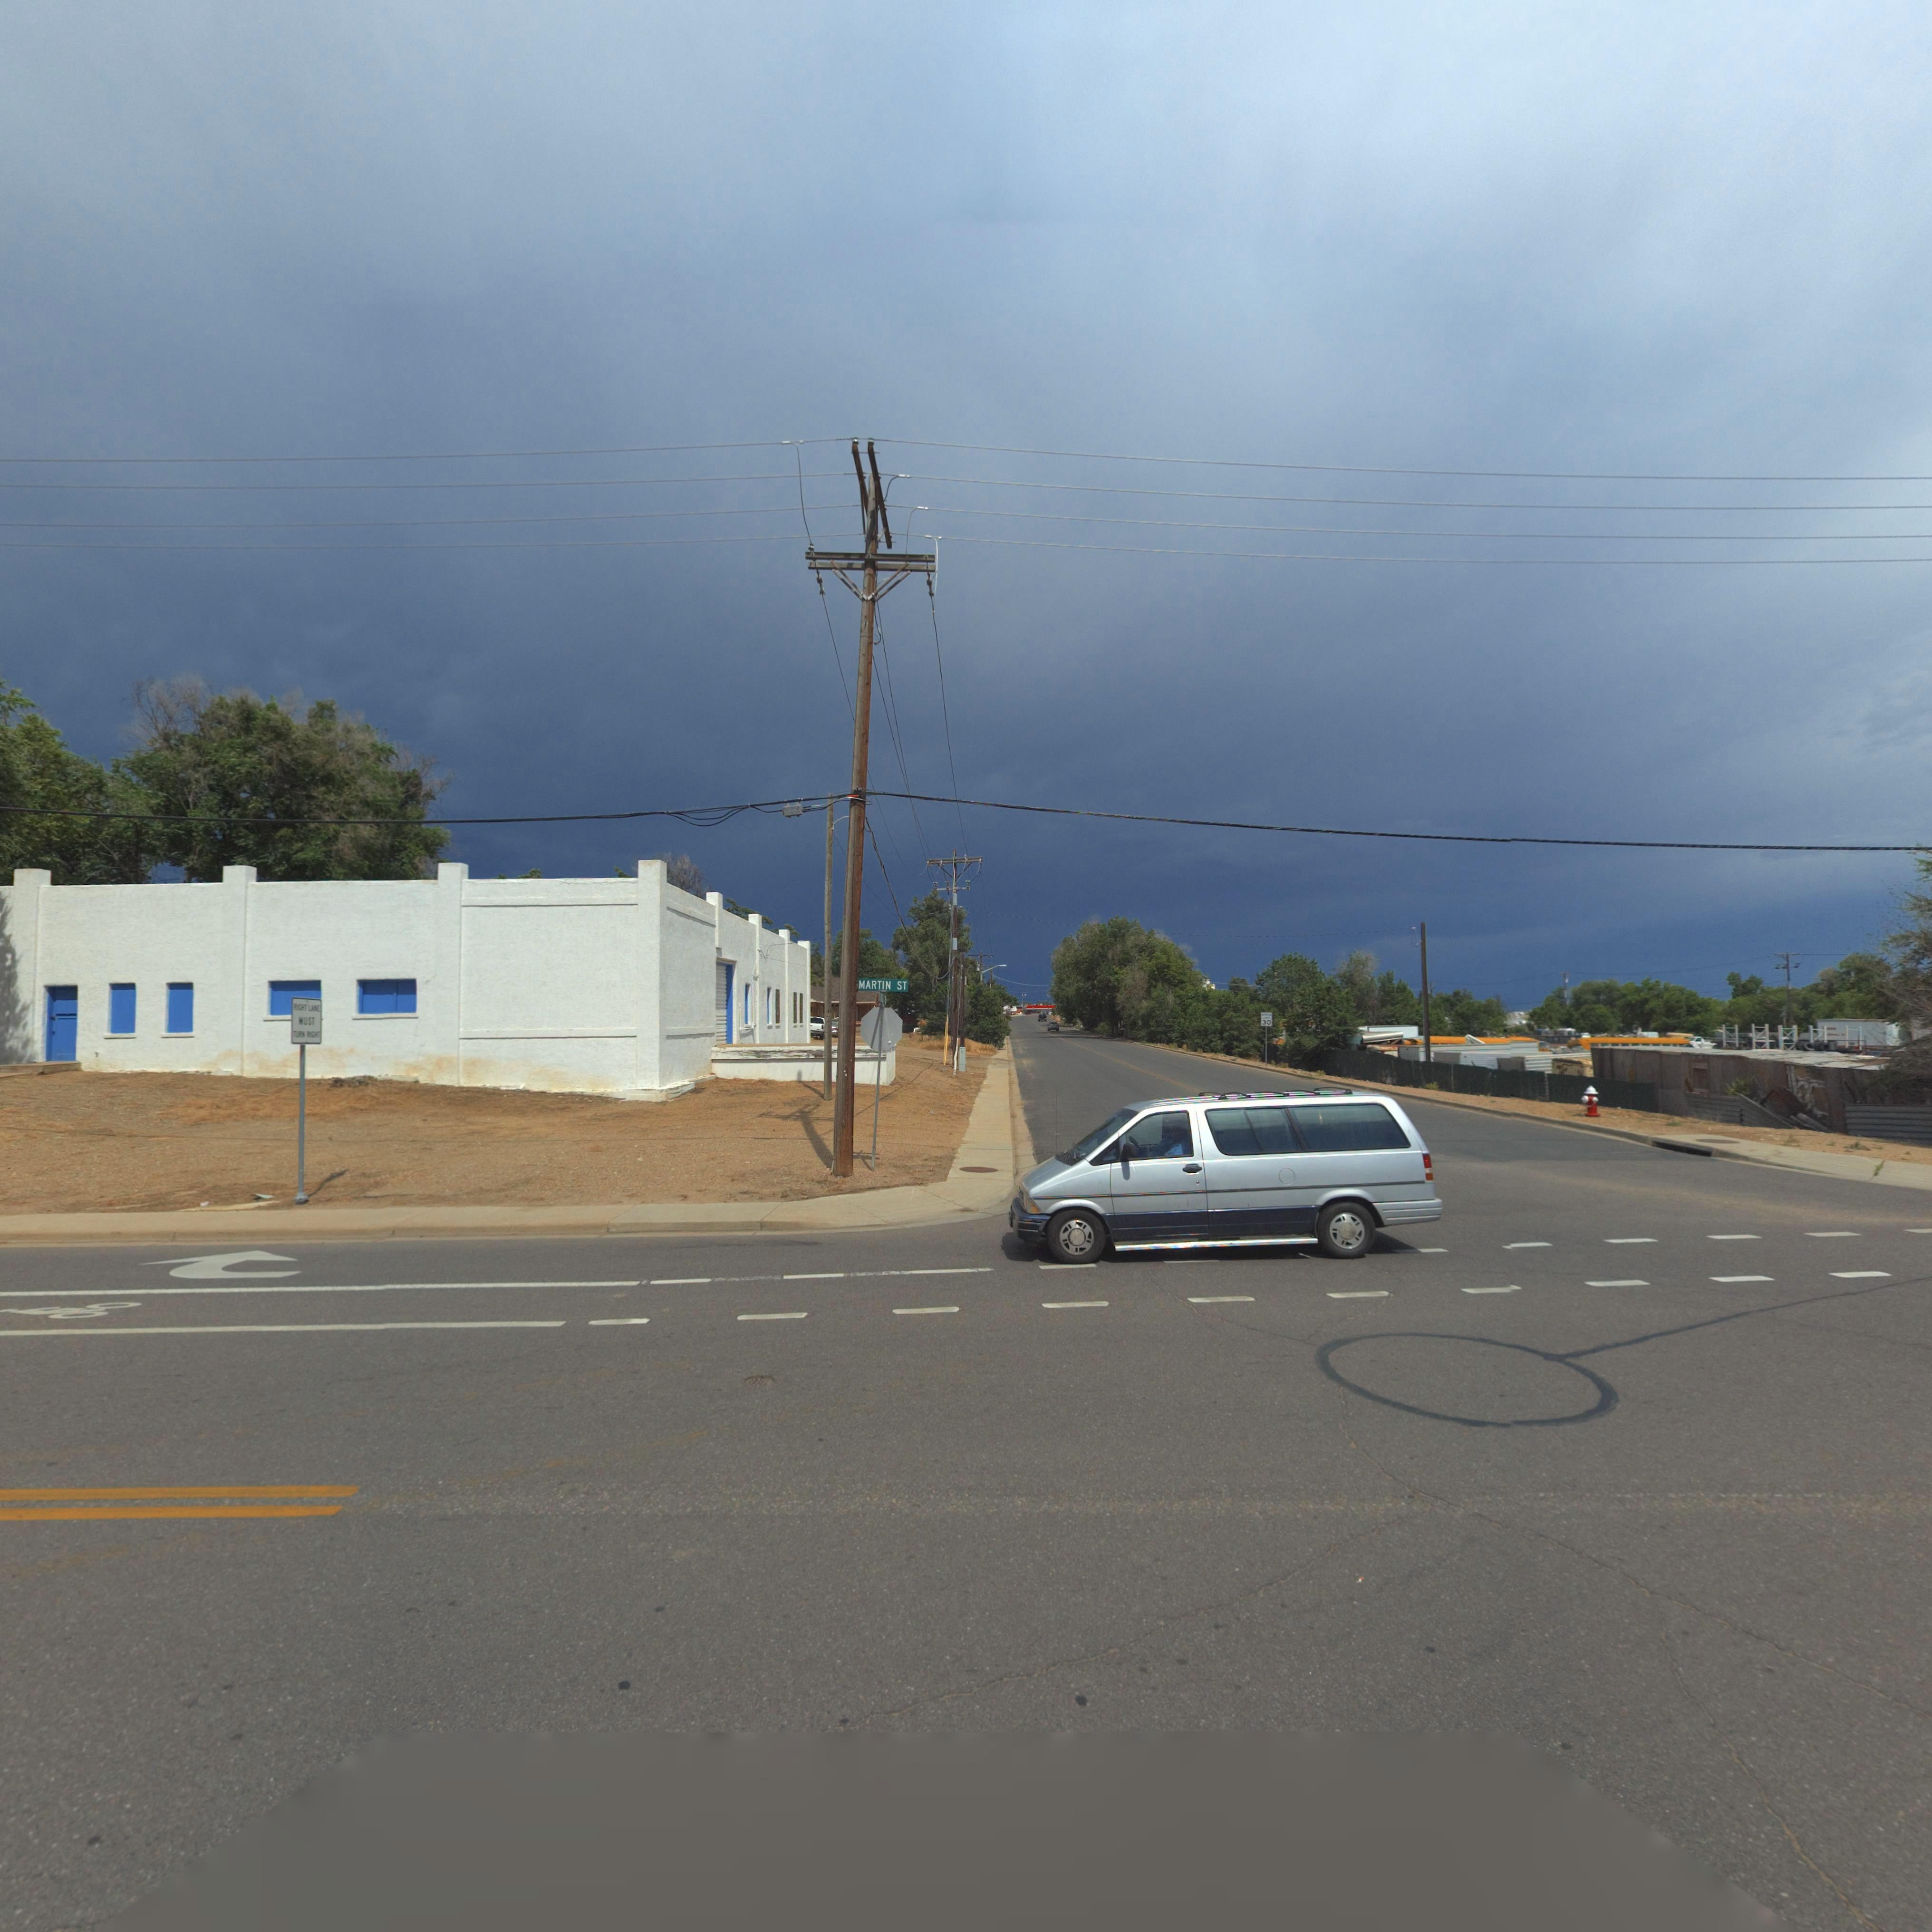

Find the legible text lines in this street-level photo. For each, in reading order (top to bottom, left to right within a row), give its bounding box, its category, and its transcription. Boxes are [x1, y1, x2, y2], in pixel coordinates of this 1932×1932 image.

[858, 980, 907, 990] StreetName: MARTIN ST